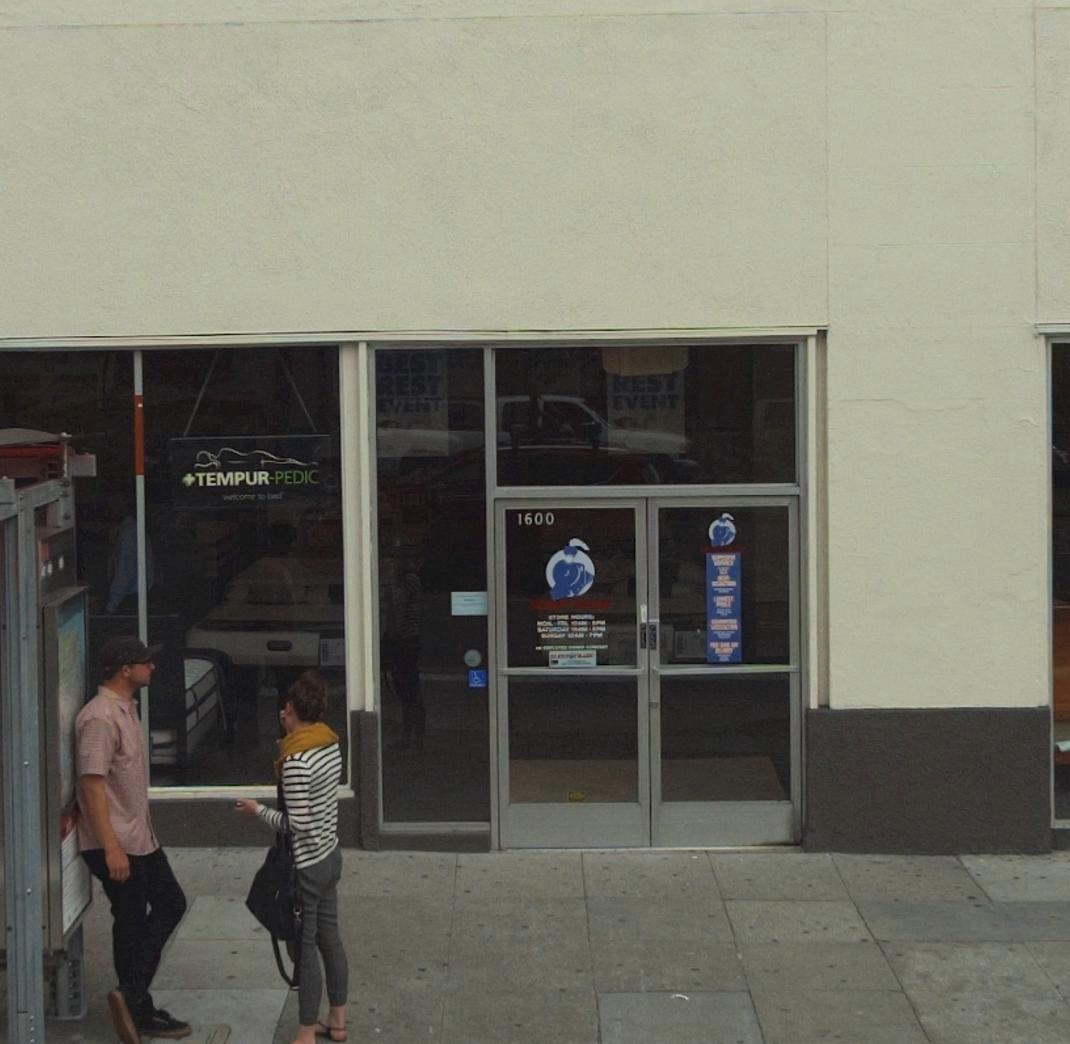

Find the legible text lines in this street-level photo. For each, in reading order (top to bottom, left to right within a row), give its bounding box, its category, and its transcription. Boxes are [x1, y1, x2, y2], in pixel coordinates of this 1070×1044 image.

[374, 351, 445, 376] None: BEST
[375, 373, 445, 399] None: REST
[610, 370, 681, 396] None: REST
[377, 395, 444, 415] None: EVENT
[611, 392, 682, 413] None: EVENT
[193, 466, 324, 491] BusinessName: TEMPUR*PEDIC
[515, 509, 557, 528] StreetNumber: 1600